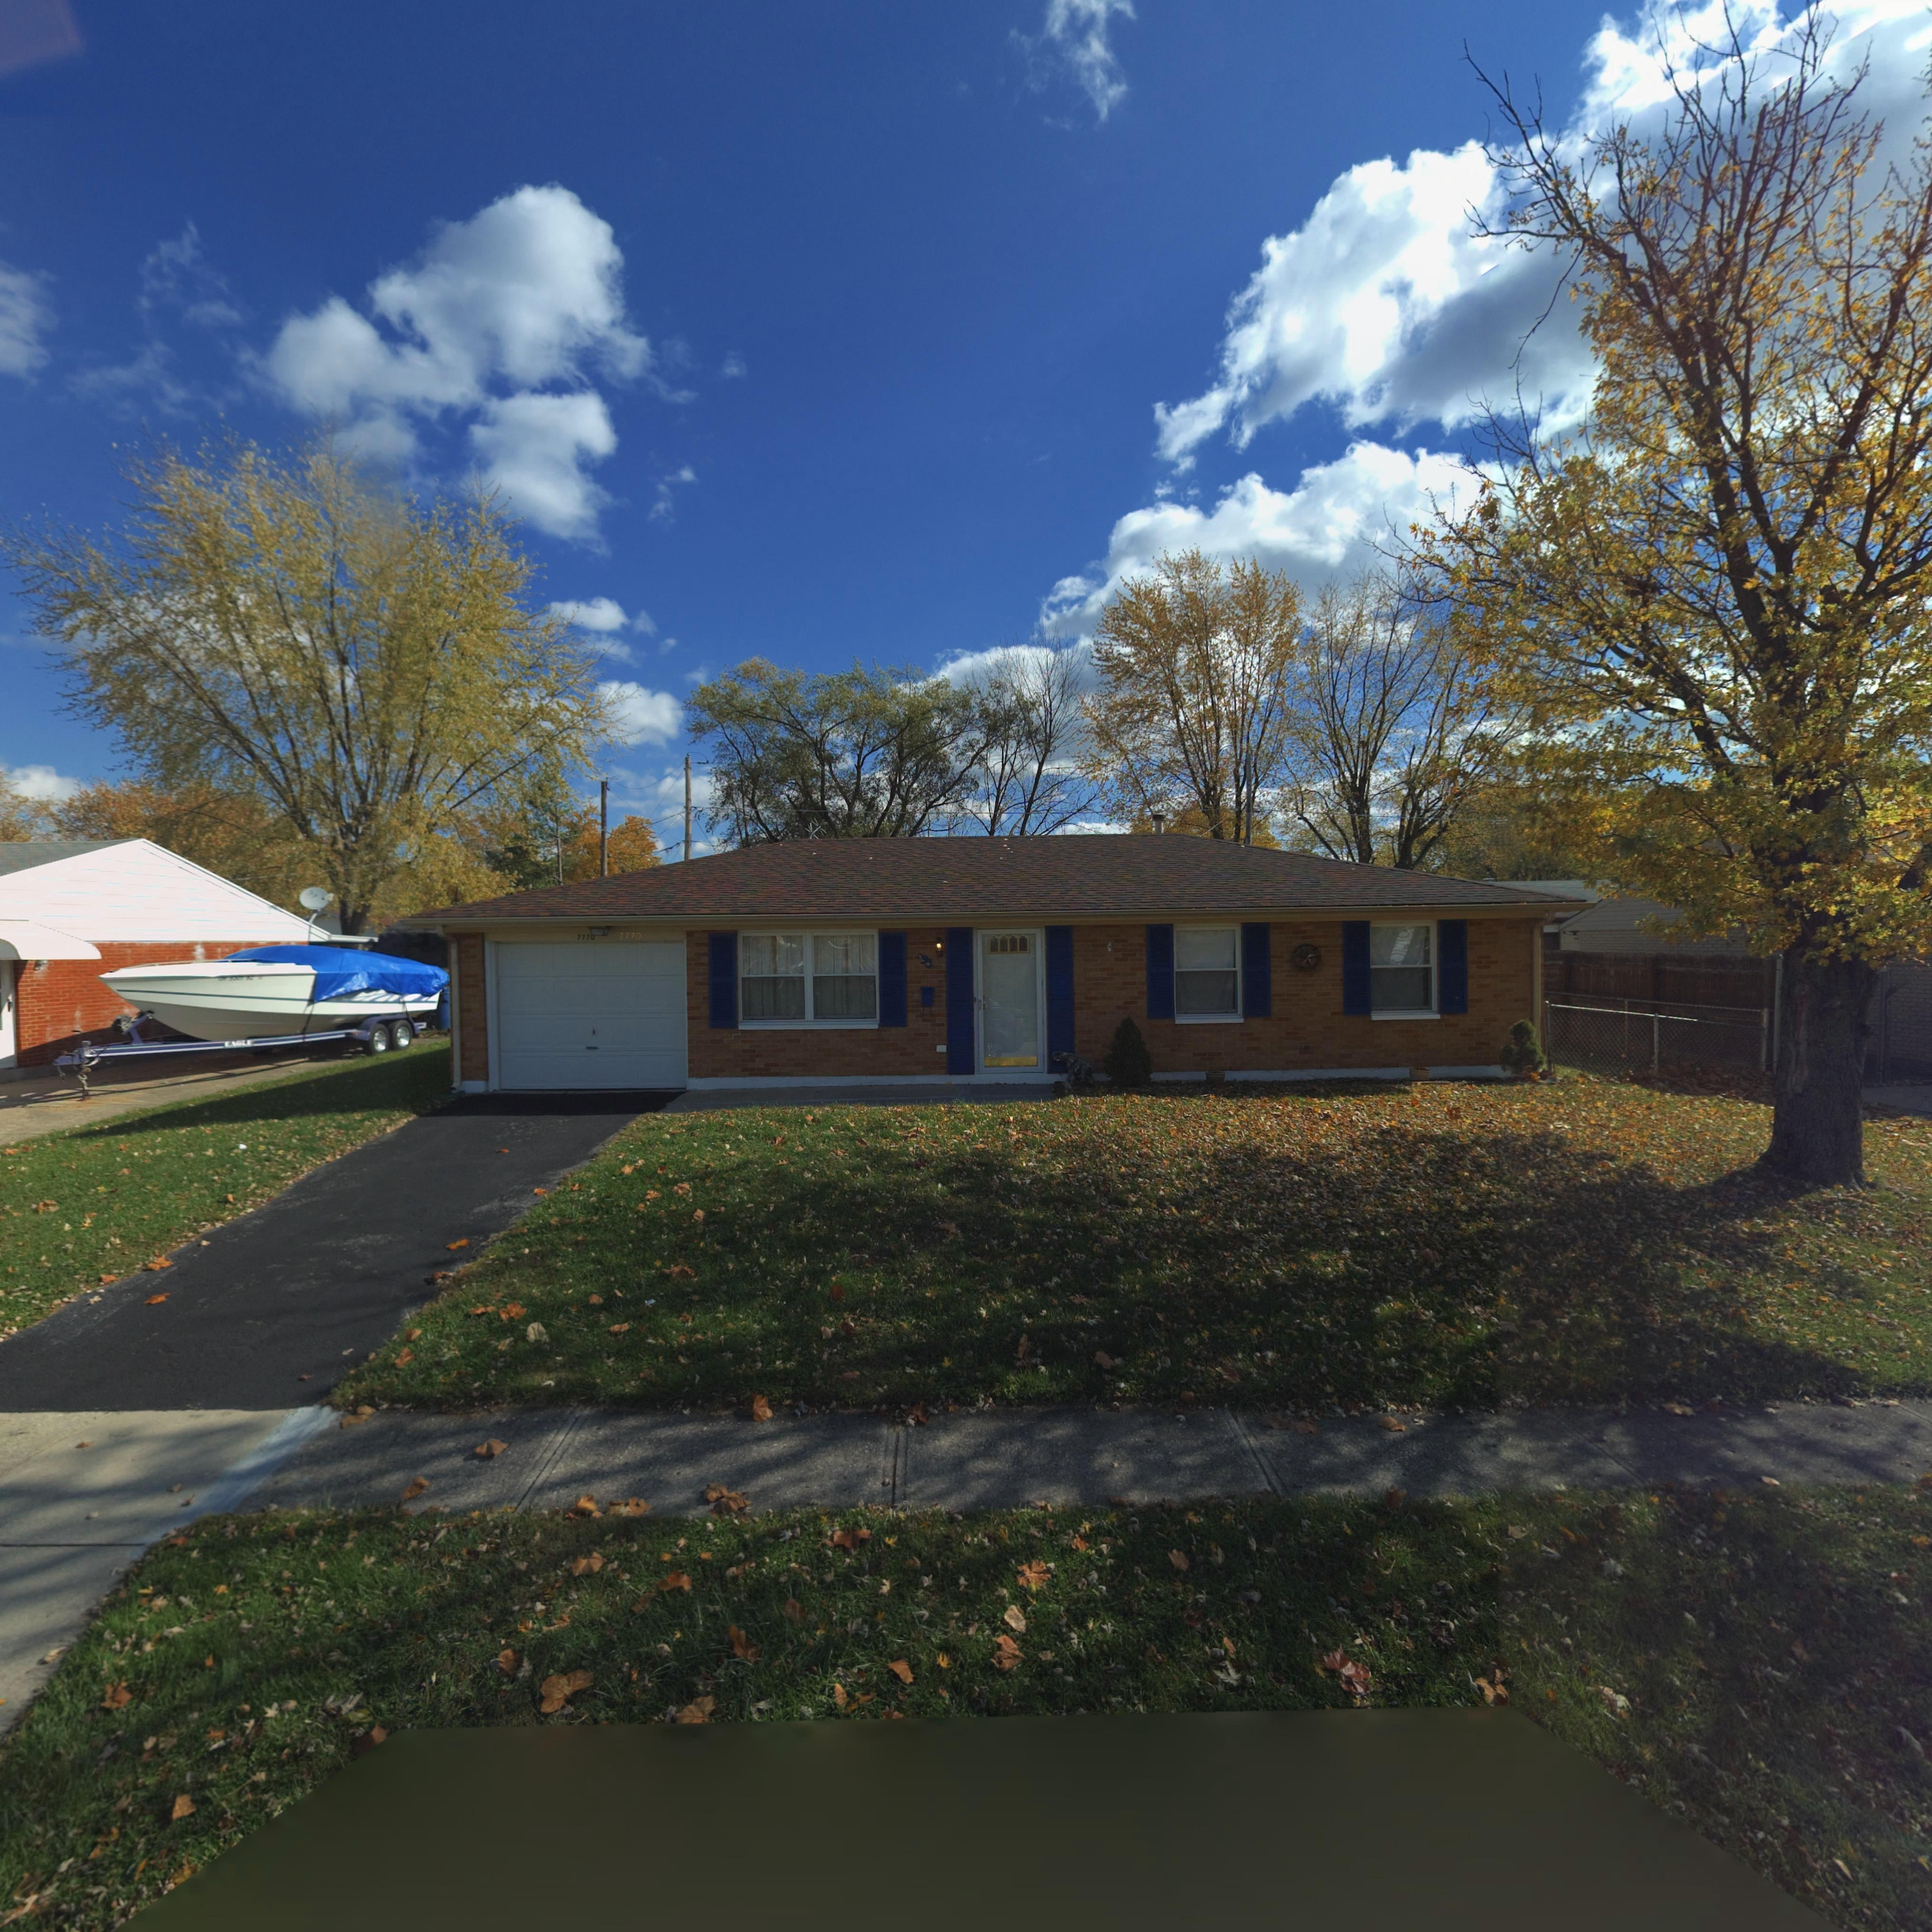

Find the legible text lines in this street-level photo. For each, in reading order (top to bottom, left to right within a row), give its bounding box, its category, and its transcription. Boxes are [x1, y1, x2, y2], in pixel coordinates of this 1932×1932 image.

[576, 934, 595, 940] StreetNumber: 7770
[618, 932, 642, 940] StreetNumber: 7770